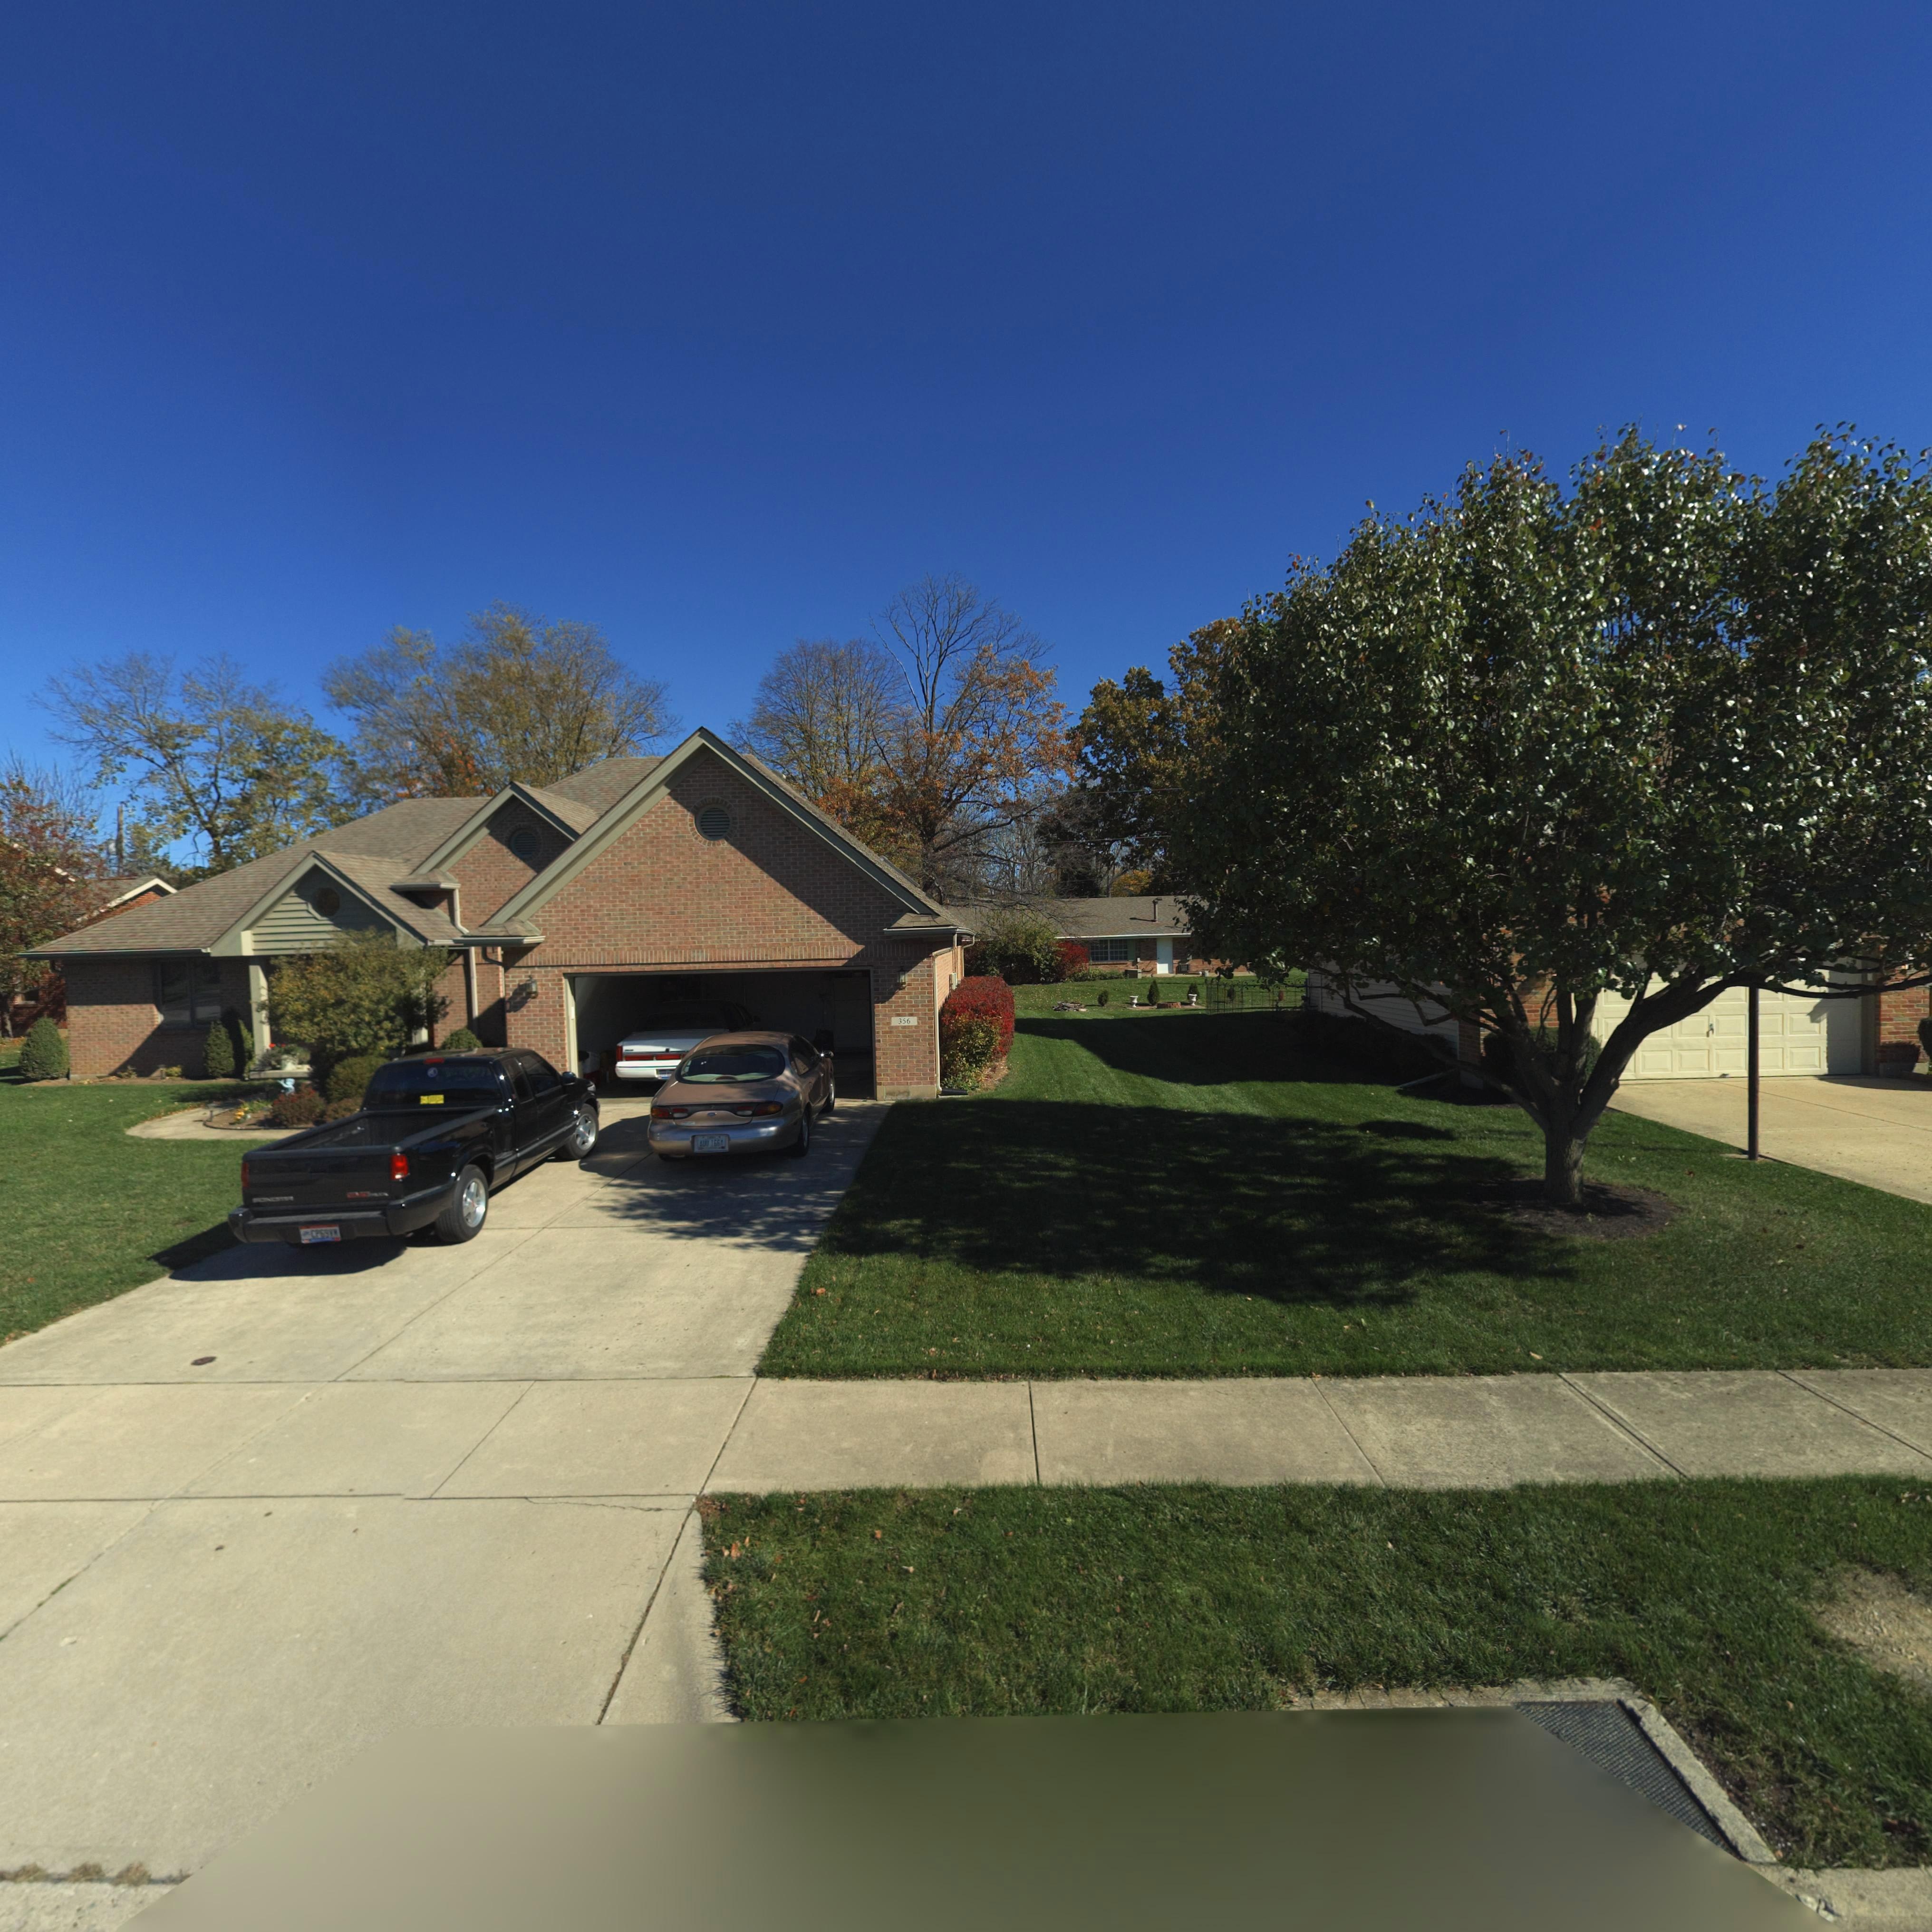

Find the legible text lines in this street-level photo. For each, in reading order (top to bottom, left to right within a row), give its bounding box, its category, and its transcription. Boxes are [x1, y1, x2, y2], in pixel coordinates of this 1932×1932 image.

[897, 1017, 911, 1025] StreetNumber: 356